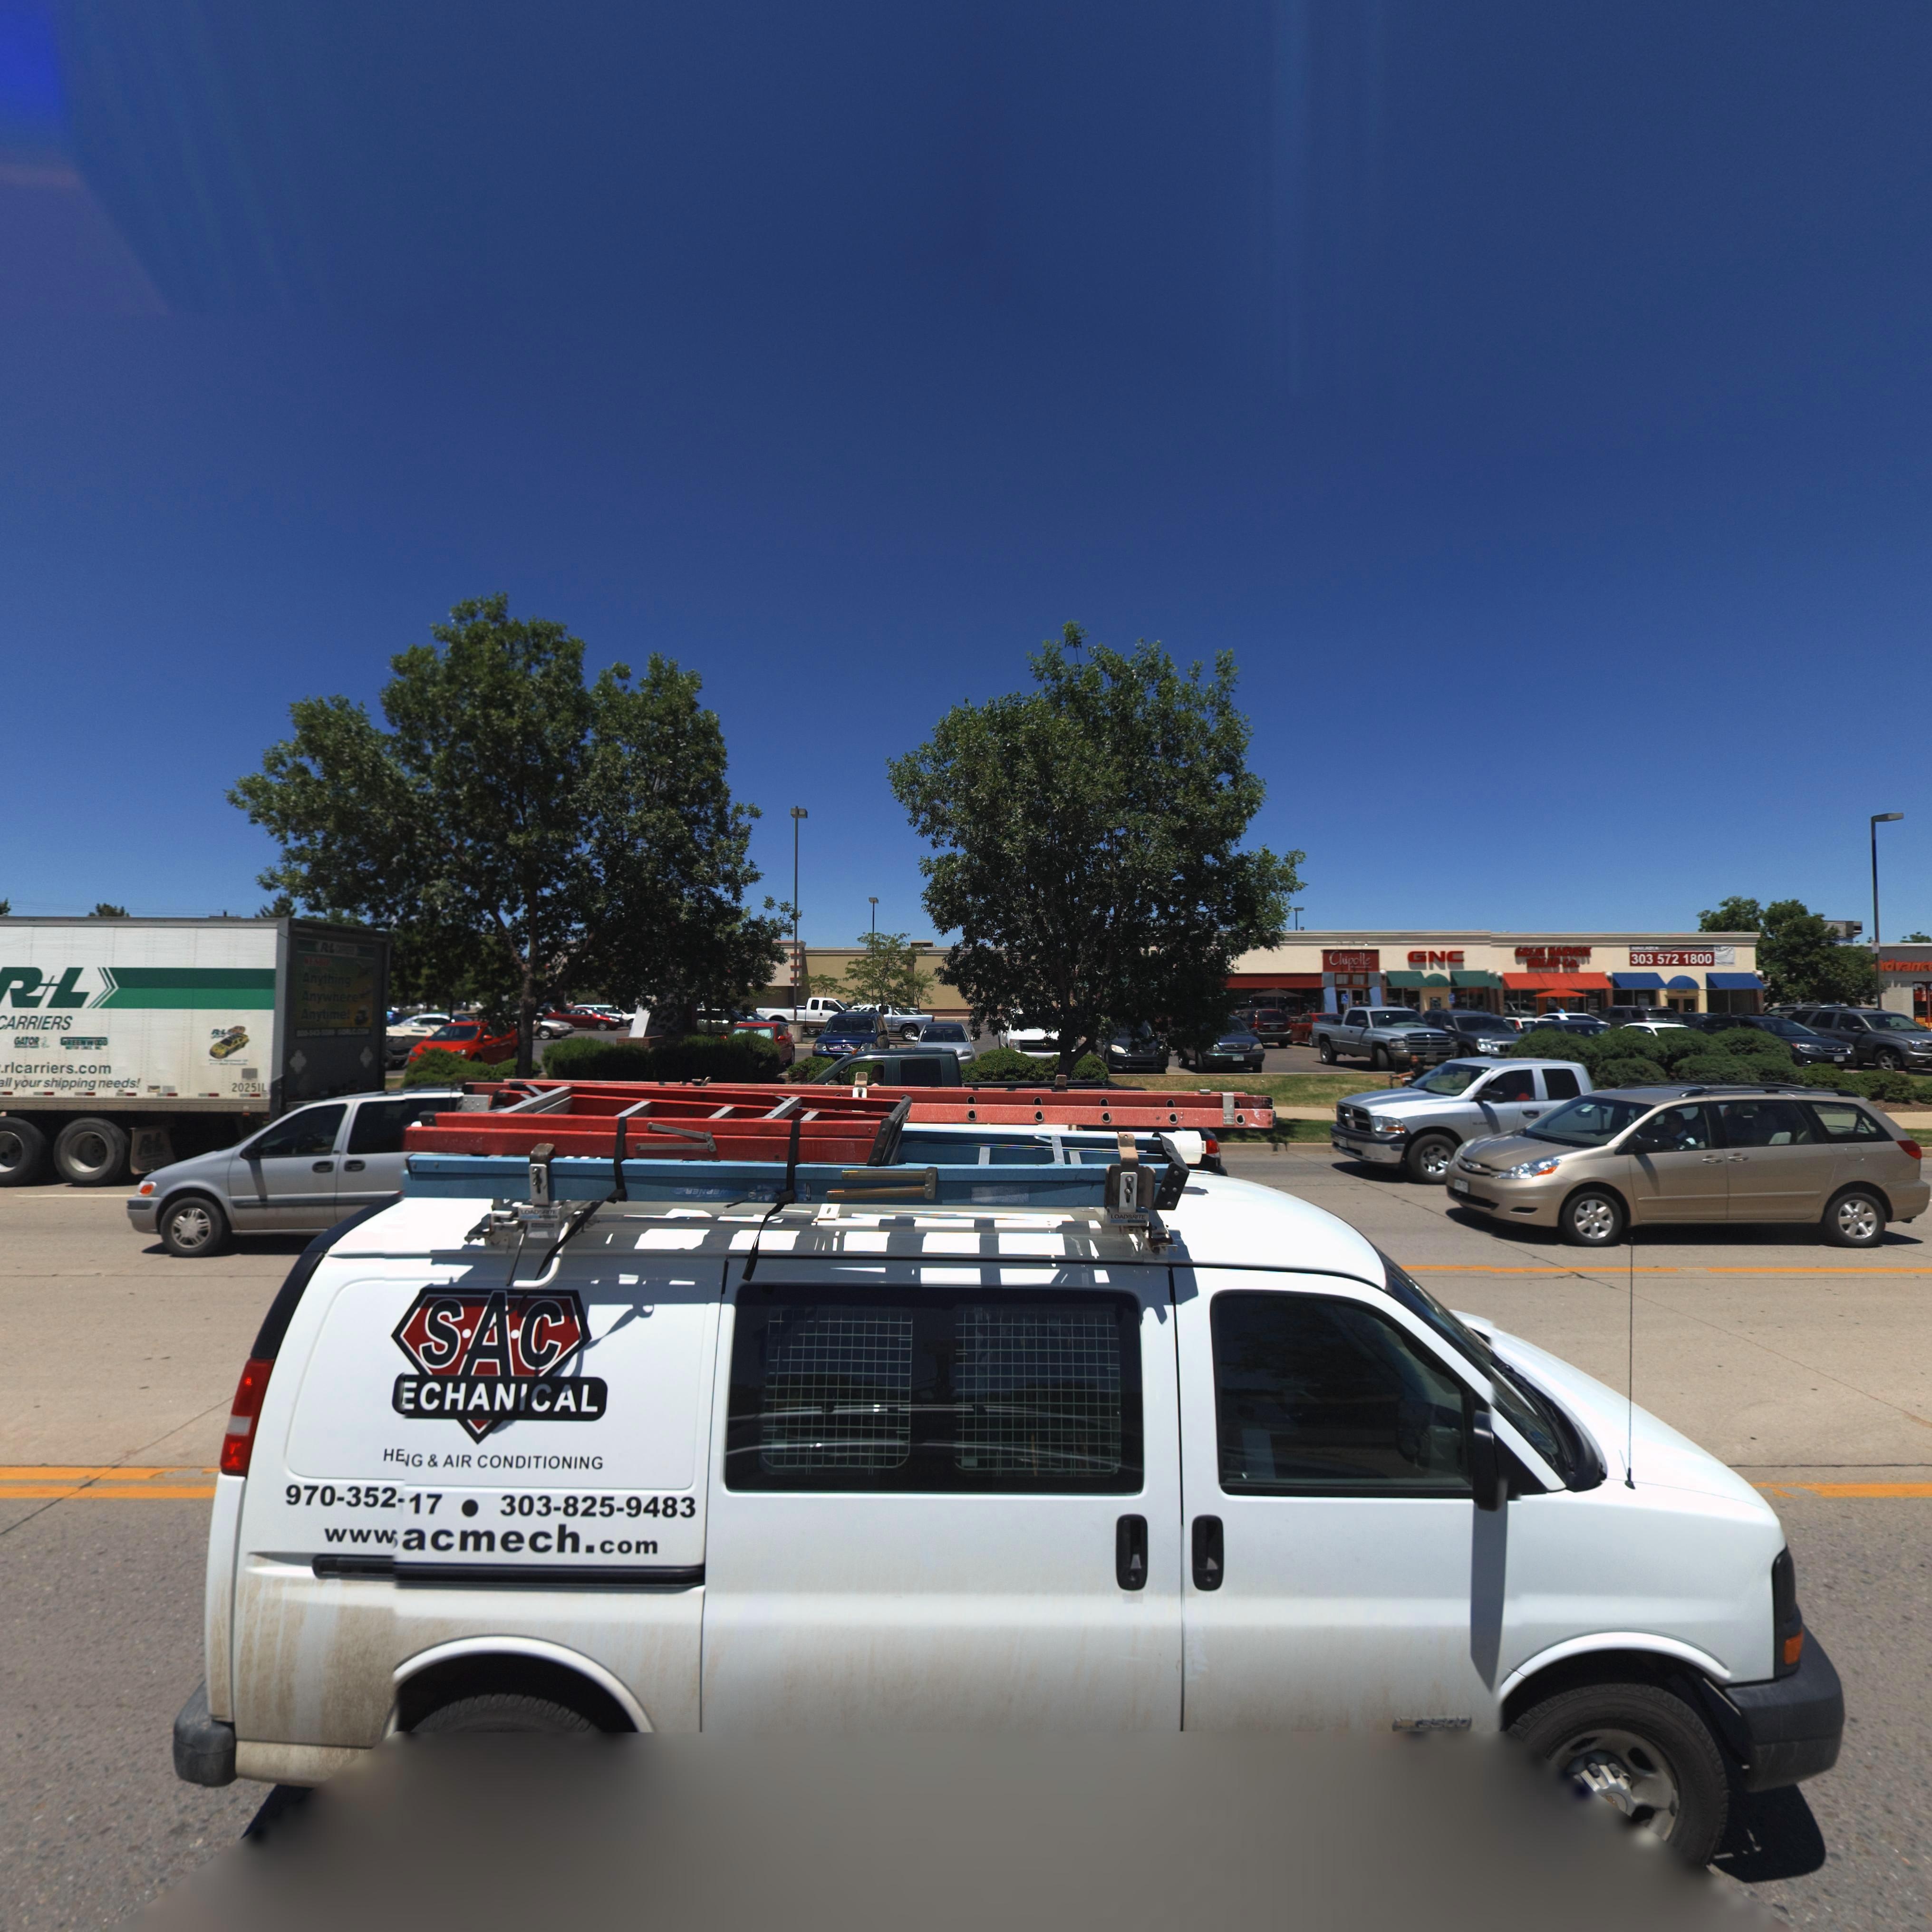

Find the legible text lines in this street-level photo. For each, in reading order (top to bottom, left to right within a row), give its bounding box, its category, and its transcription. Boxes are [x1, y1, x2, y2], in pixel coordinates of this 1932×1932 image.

[1328, 950, 1372, 971] BusinessName: Chipotle
[1407, 950, 1465, 963] BusinessName: GNC
[1515, 946, 1591, 957] BusinessName: GREAT HARVEST
[1526, 957, 1580, 968] BusinessName: BREAD Co.
[1884, 958, 1930, 972] BusinessName: dvanc